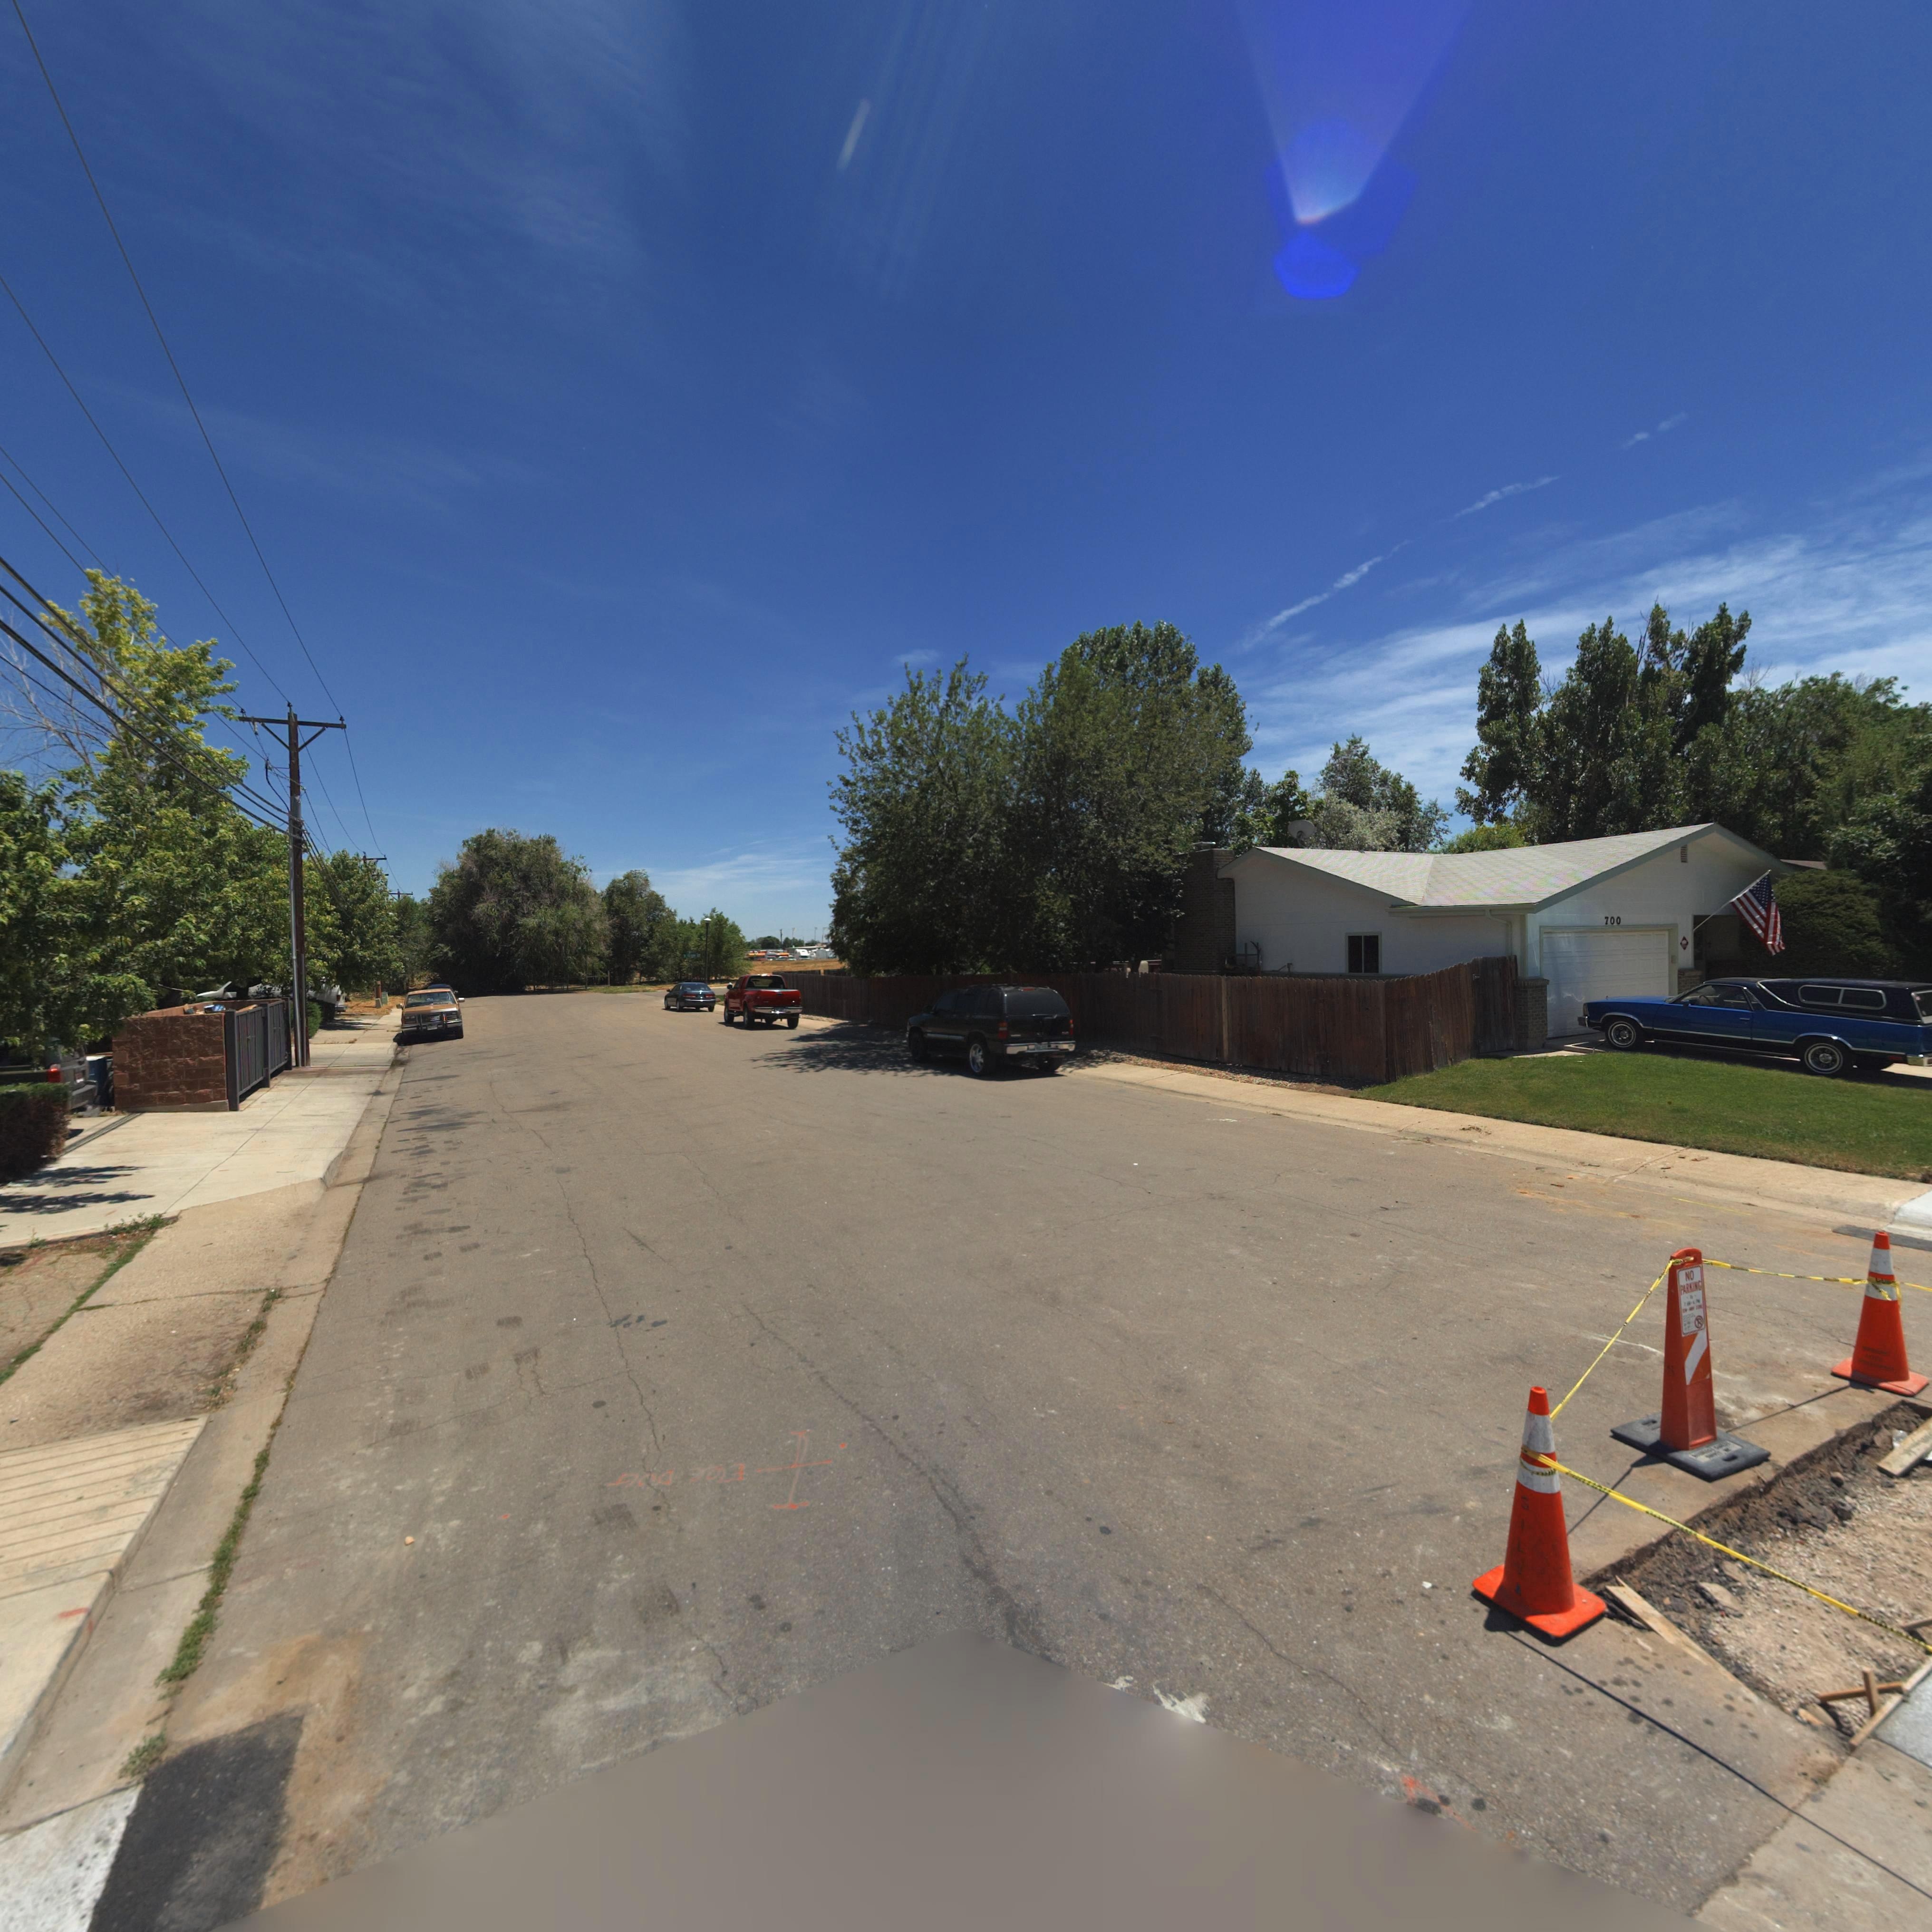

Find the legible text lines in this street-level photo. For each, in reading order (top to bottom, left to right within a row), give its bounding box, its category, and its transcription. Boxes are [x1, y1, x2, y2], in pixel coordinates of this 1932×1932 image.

[1604, 916, 1621, 925] StreetNumber: 700